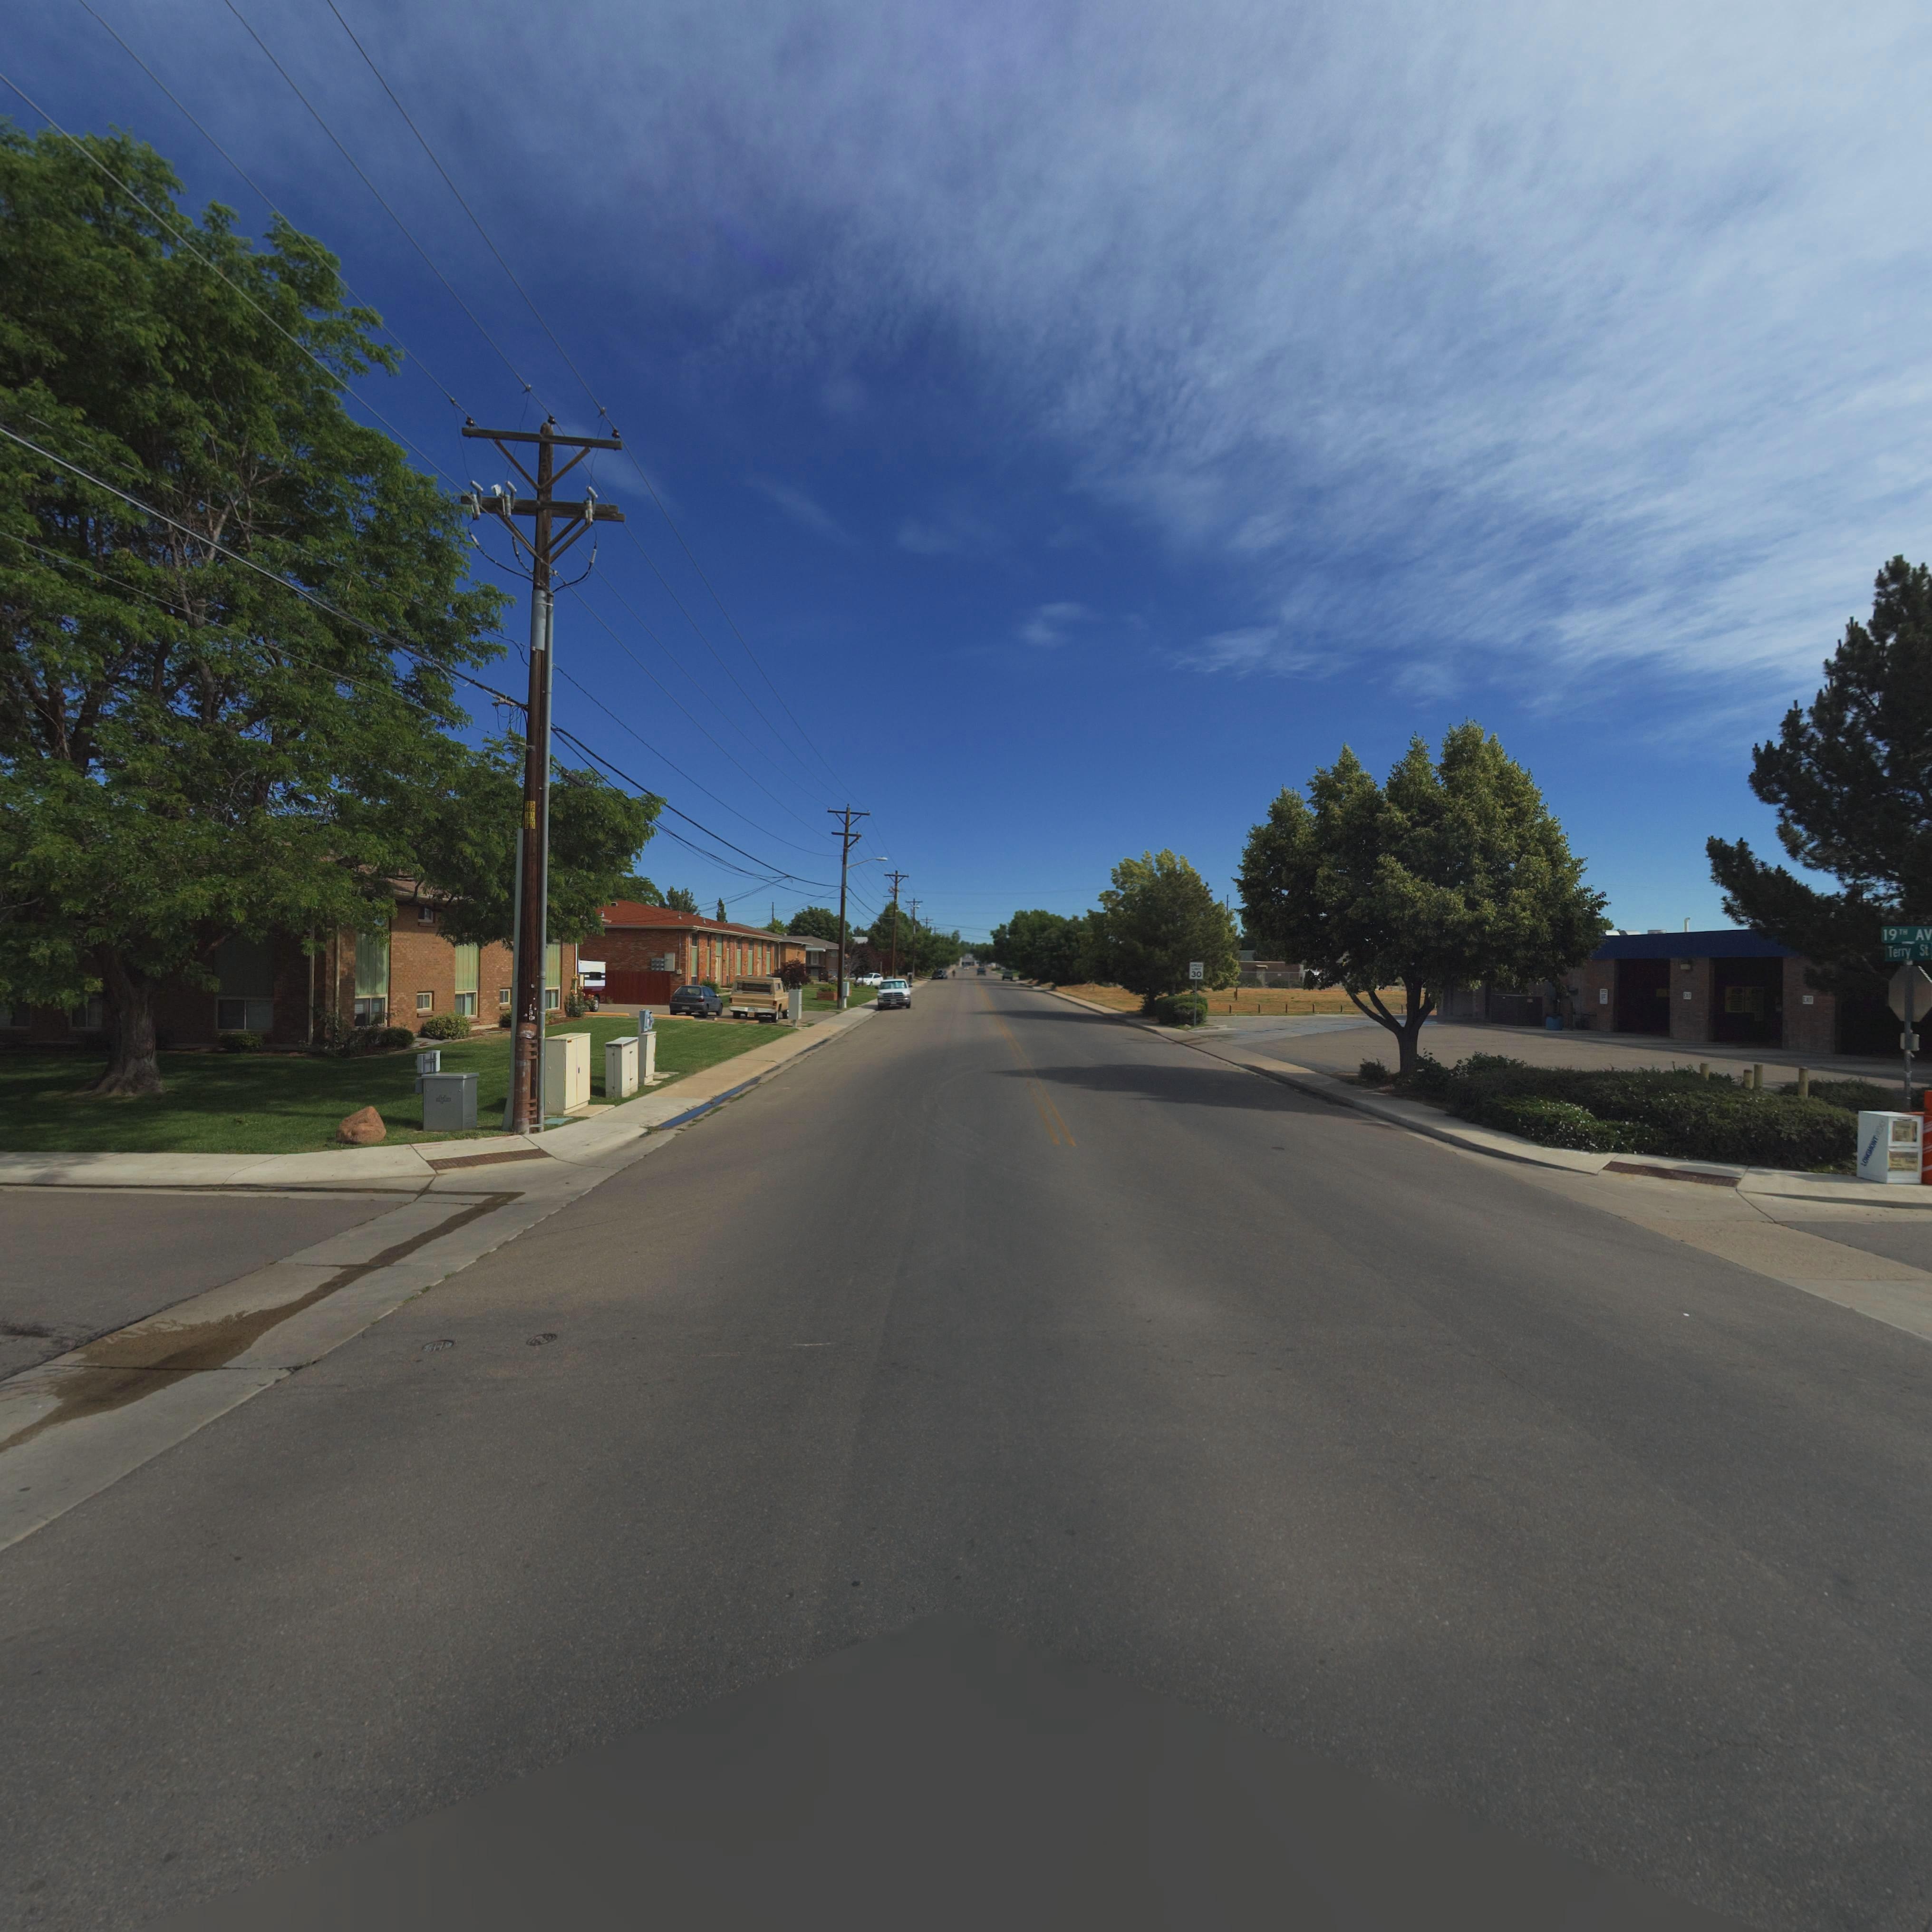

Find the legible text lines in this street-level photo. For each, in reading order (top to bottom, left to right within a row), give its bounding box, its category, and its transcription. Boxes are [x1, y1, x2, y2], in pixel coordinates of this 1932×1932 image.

[1882, 928, 1932, 941] StreetName: 19TH AV
[1886, 944, 1929, 960] StreetName: Terry St